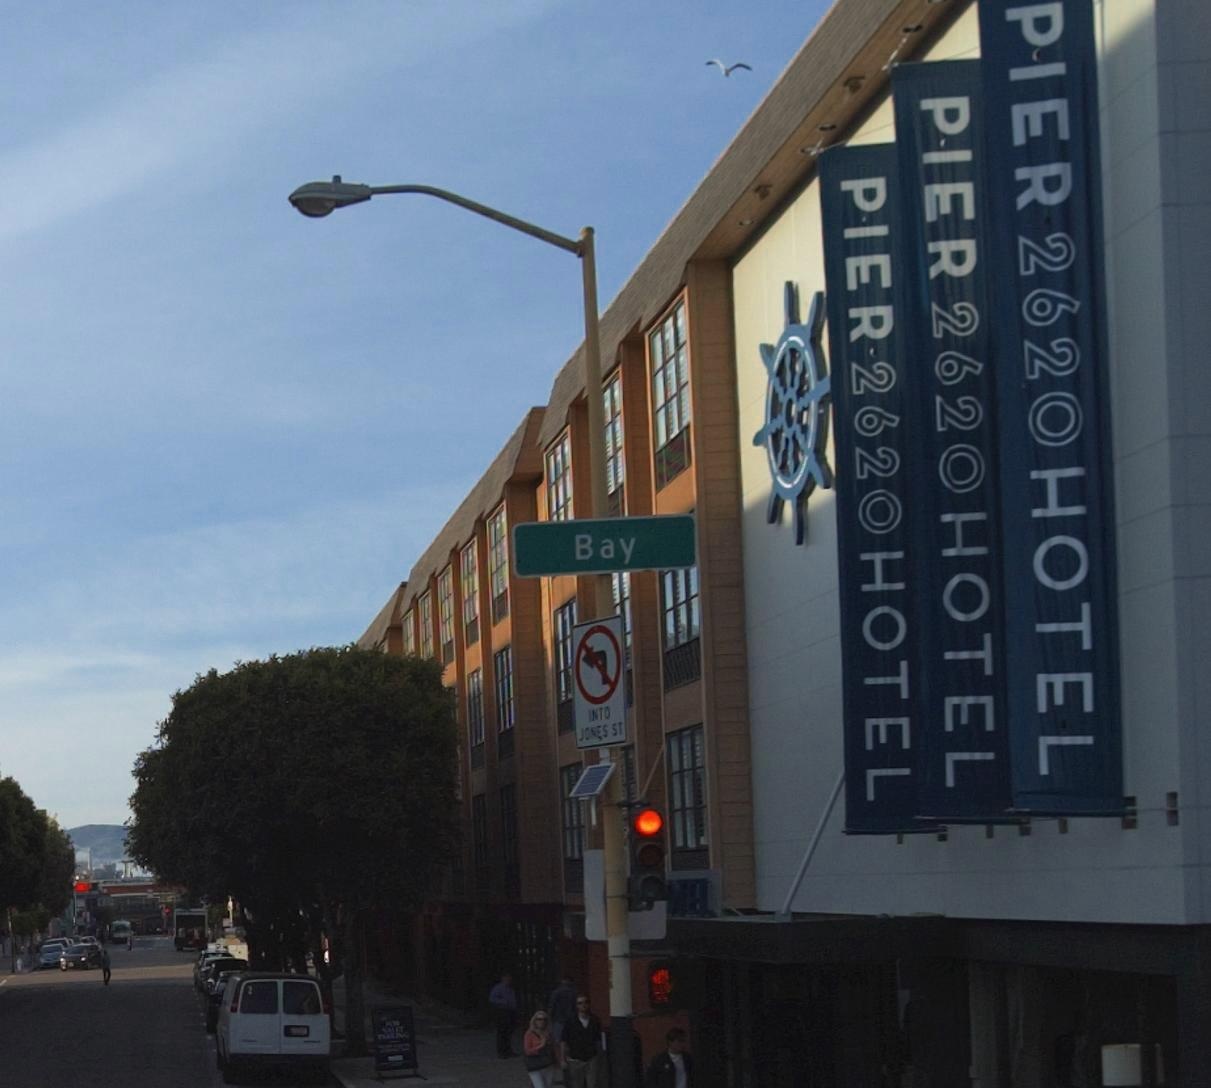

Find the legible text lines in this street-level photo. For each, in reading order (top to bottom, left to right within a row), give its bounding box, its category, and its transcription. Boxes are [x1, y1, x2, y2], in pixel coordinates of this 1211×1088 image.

[585, 703, 613, 725] None: INTO
[576, 717, 626, 745] StreetName: JONES ST
[571, 531, 639, 567] StreetName: Bay
[834, 169, 919, 808] BusinessName: PIER2620HOTEL
[915, 89, 999, 793] BusinessName: PIER2620HOTEL
[1000, 0, 1104, 790] BusinessName: PIER2620HOTEL